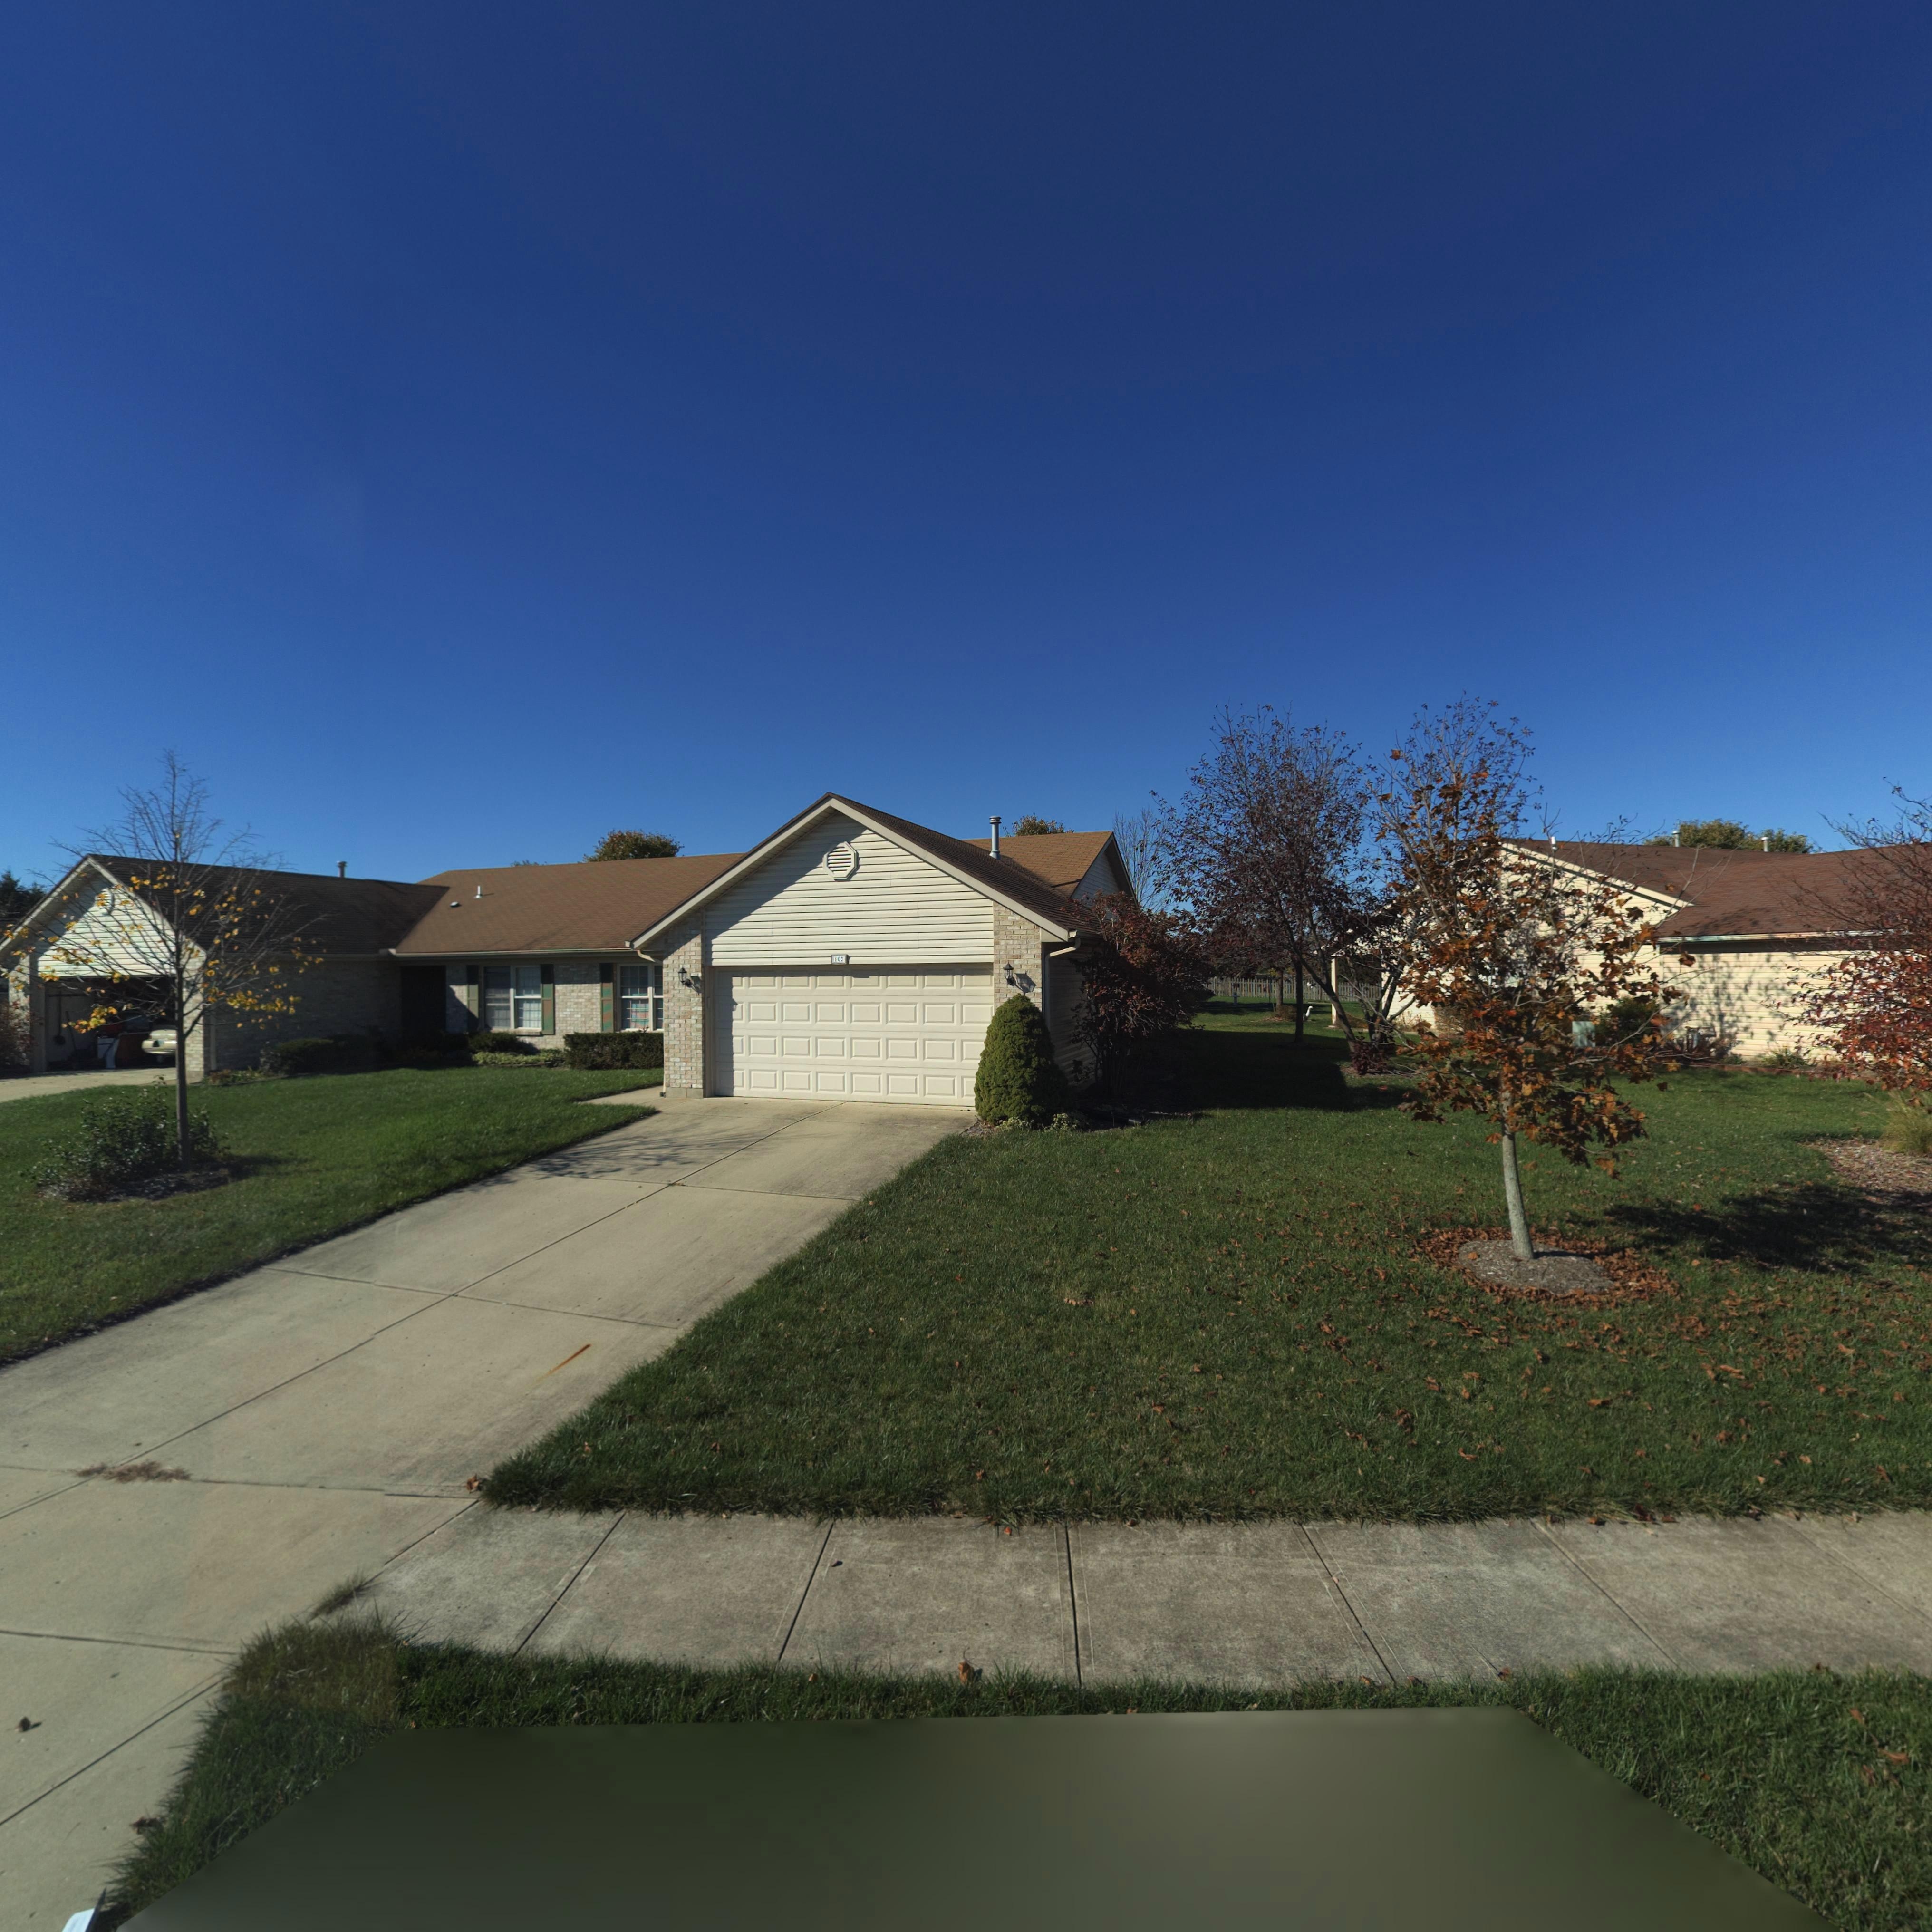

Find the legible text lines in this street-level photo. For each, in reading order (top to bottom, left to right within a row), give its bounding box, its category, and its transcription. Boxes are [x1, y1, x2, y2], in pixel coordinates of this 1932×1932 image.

[834, 956, 844, 962] StreetNumber: 102